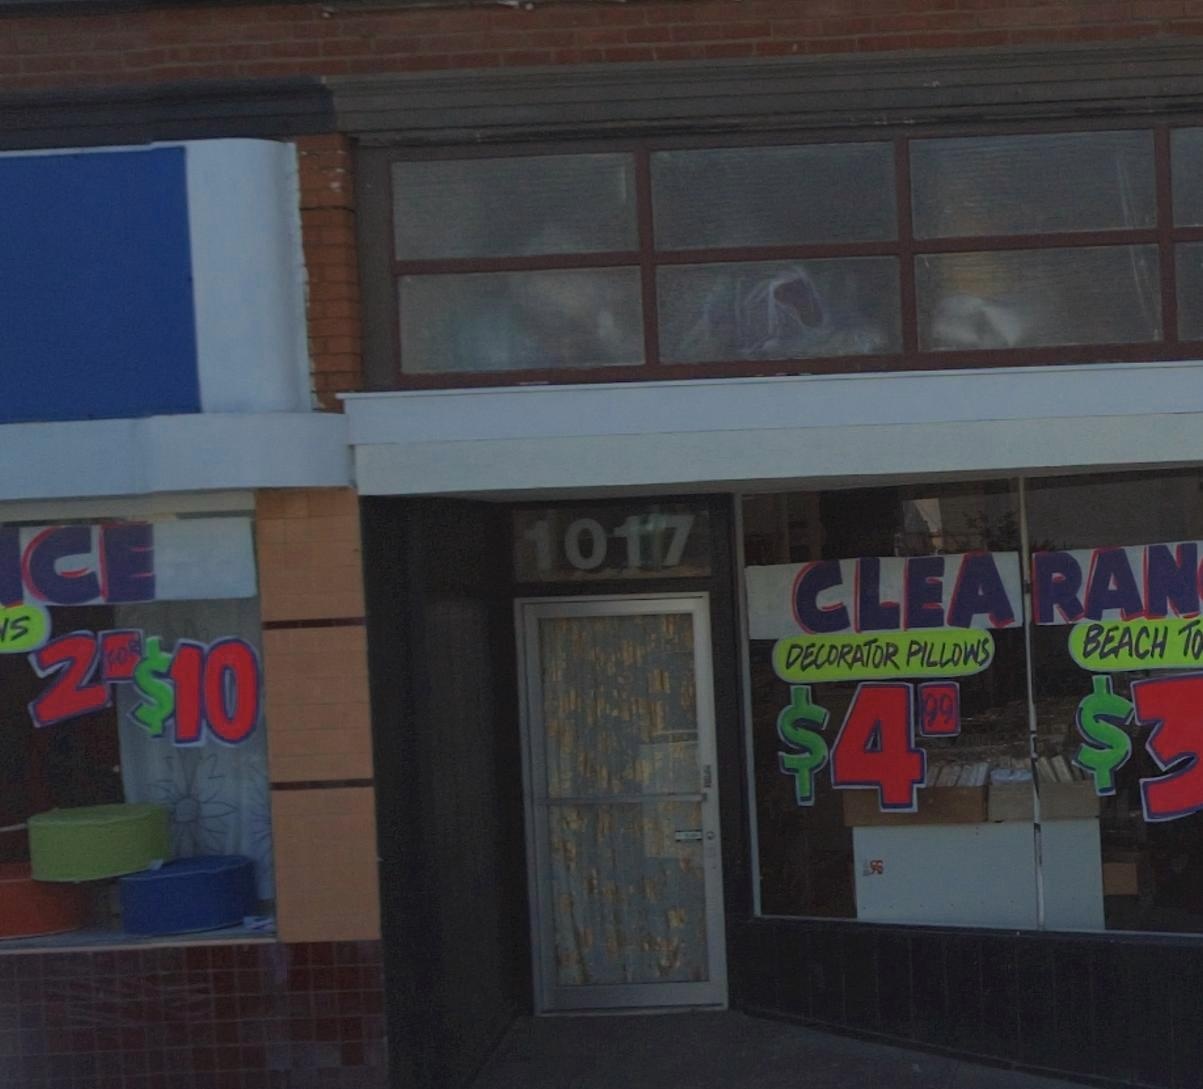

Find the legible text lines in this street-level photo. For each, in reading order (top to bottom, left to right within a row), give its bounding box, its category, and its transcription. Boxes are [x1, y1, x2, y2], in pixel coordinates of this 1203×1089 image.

[22, 520, 157, 606] None: CE
[521, 507, 699, 577] StreetNumber: 1017
[791, 538, 1200, 639] None: CLEARAN
[9, 629, 116, 735] None: 2
[103, 631, 145, 672] None: FOR
[128, 631, 260, 750] None: $10
[770, 681, 927, 813] None: $4
[783, 631, 994, 672] None: DECORATOR PILLOWS
[922, 691, 956, 728] None: 99
[1080, 618, 1202, 663] None: BEACH TO